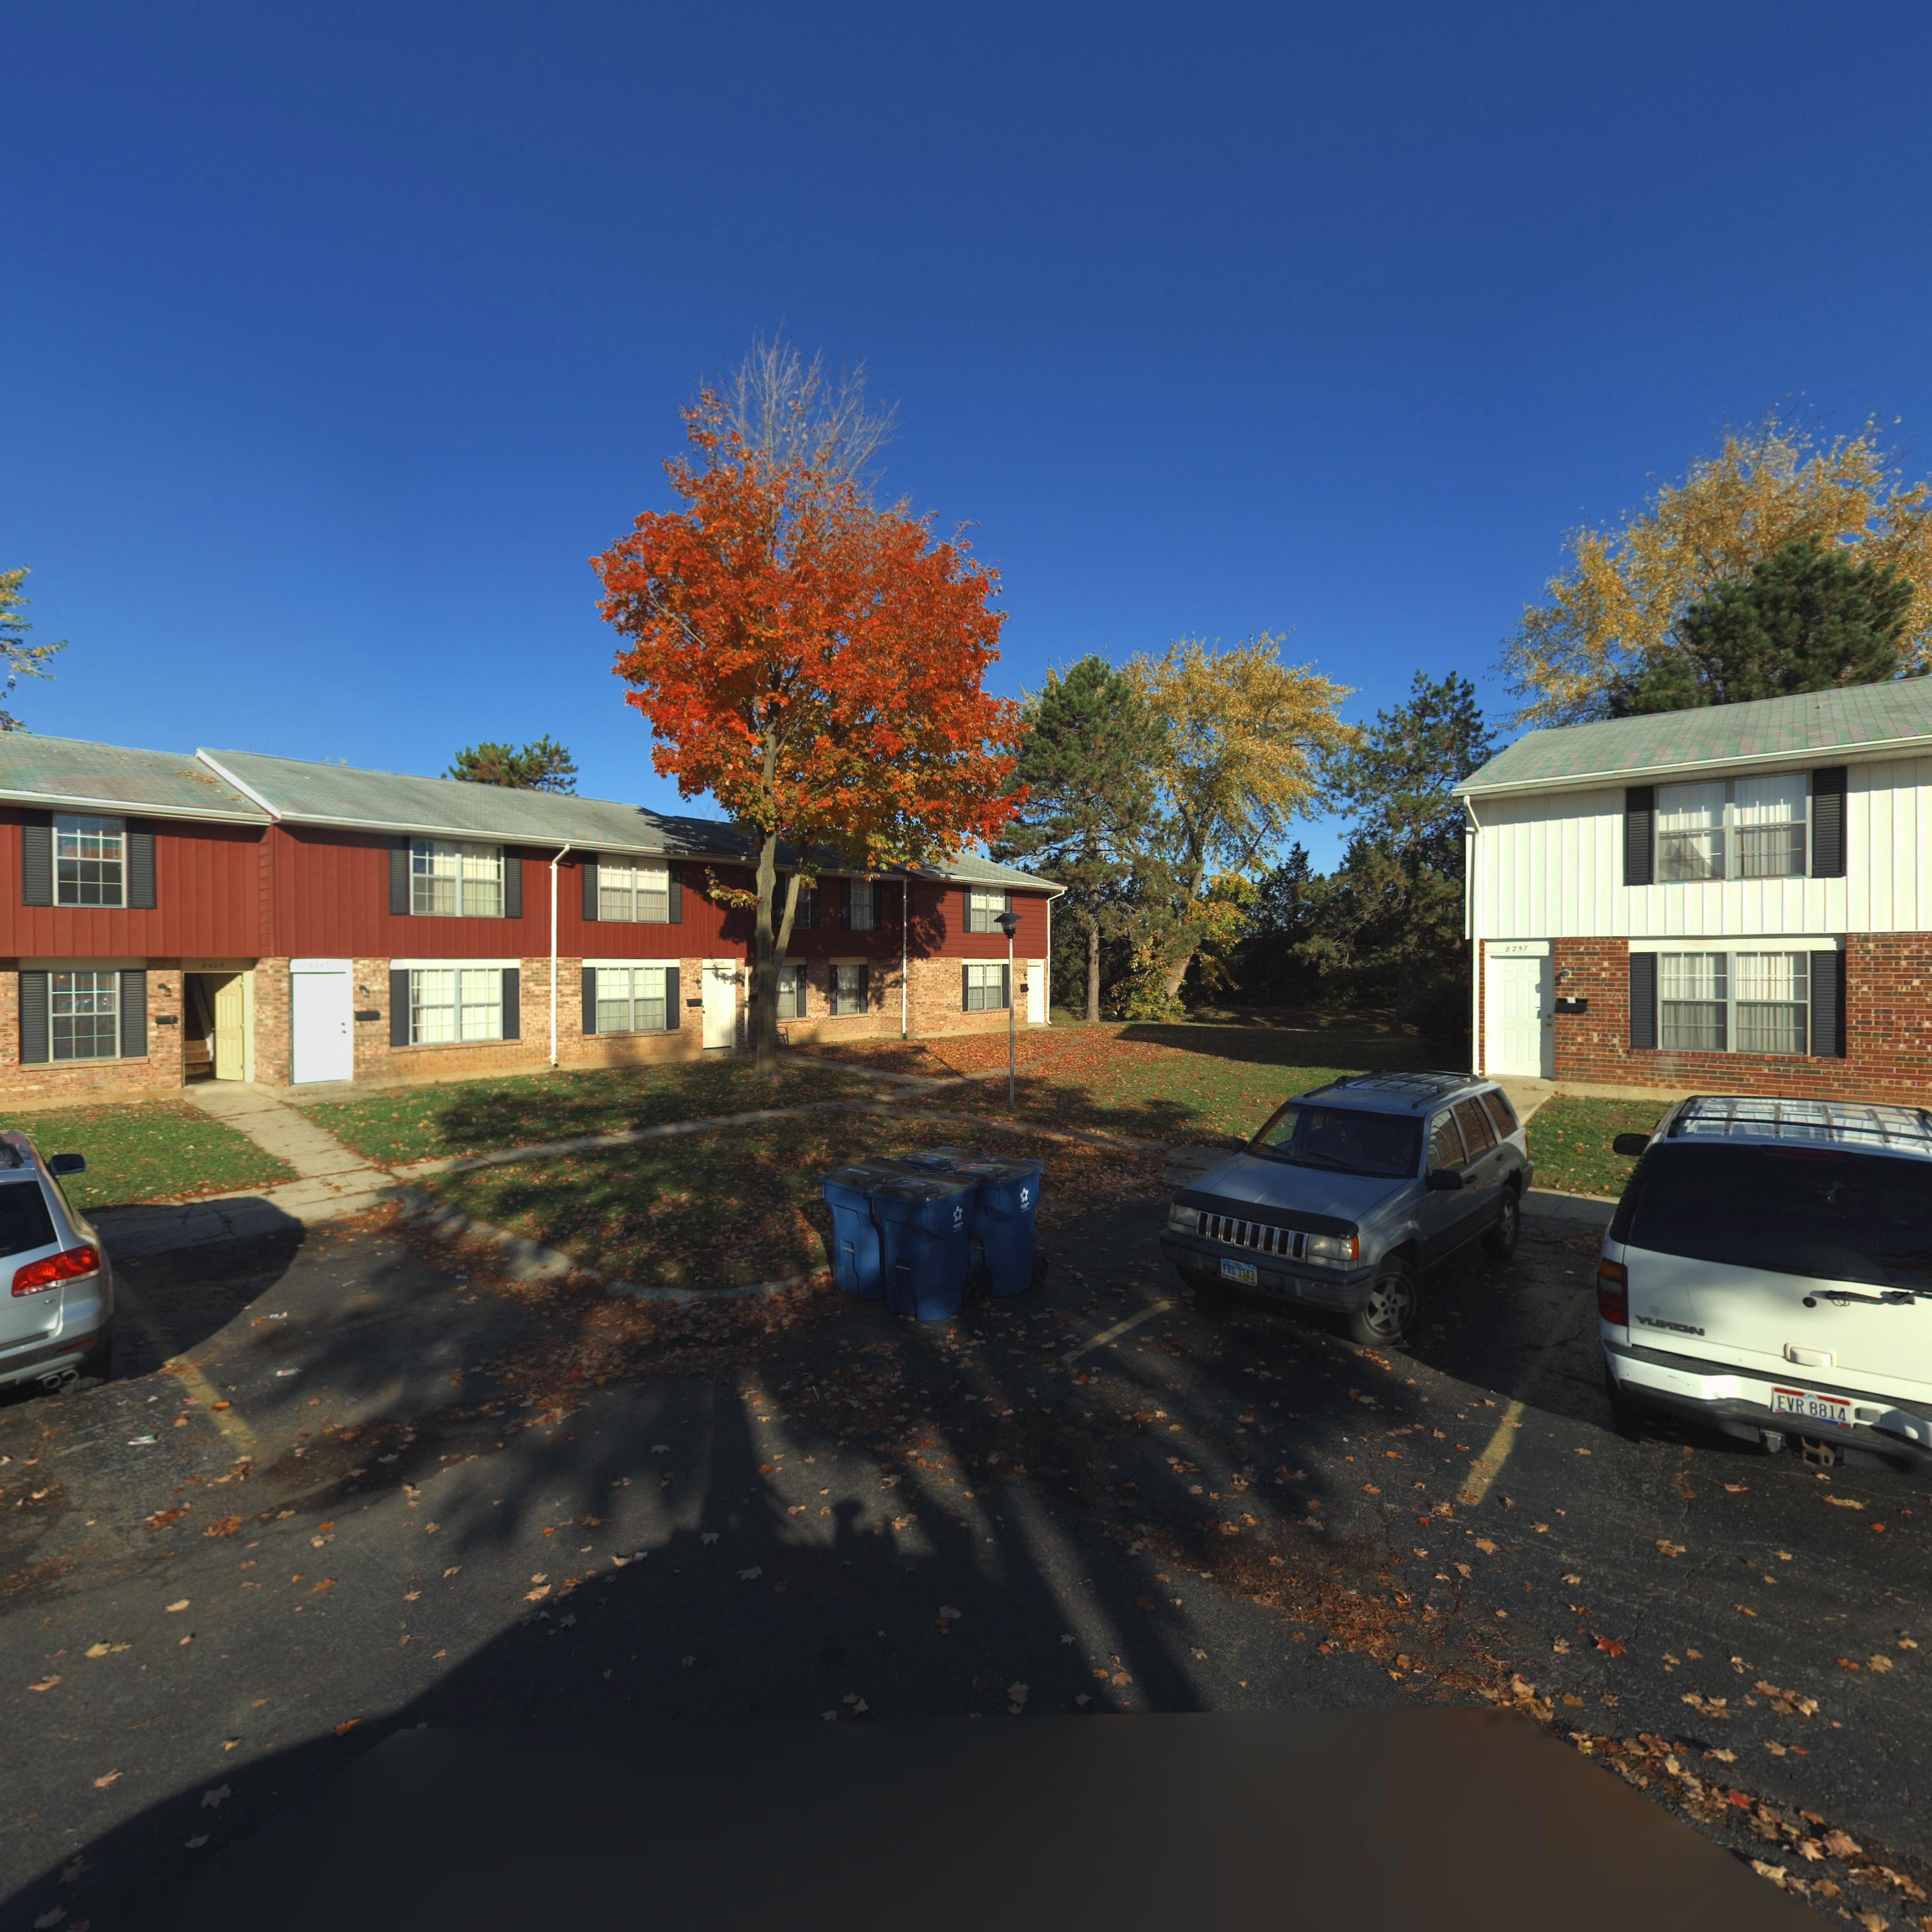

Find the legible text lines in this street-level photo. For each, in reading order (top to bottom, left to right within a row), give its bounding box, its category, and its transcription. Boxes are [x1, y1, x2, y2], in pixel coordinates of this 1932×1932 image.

[1505, 946, 1528, 953] StreetNumber: 8257
[201, 961, 225, 969] StreetNumber: 8425
[714, 961, 724, 966] StreetNumber: 8249